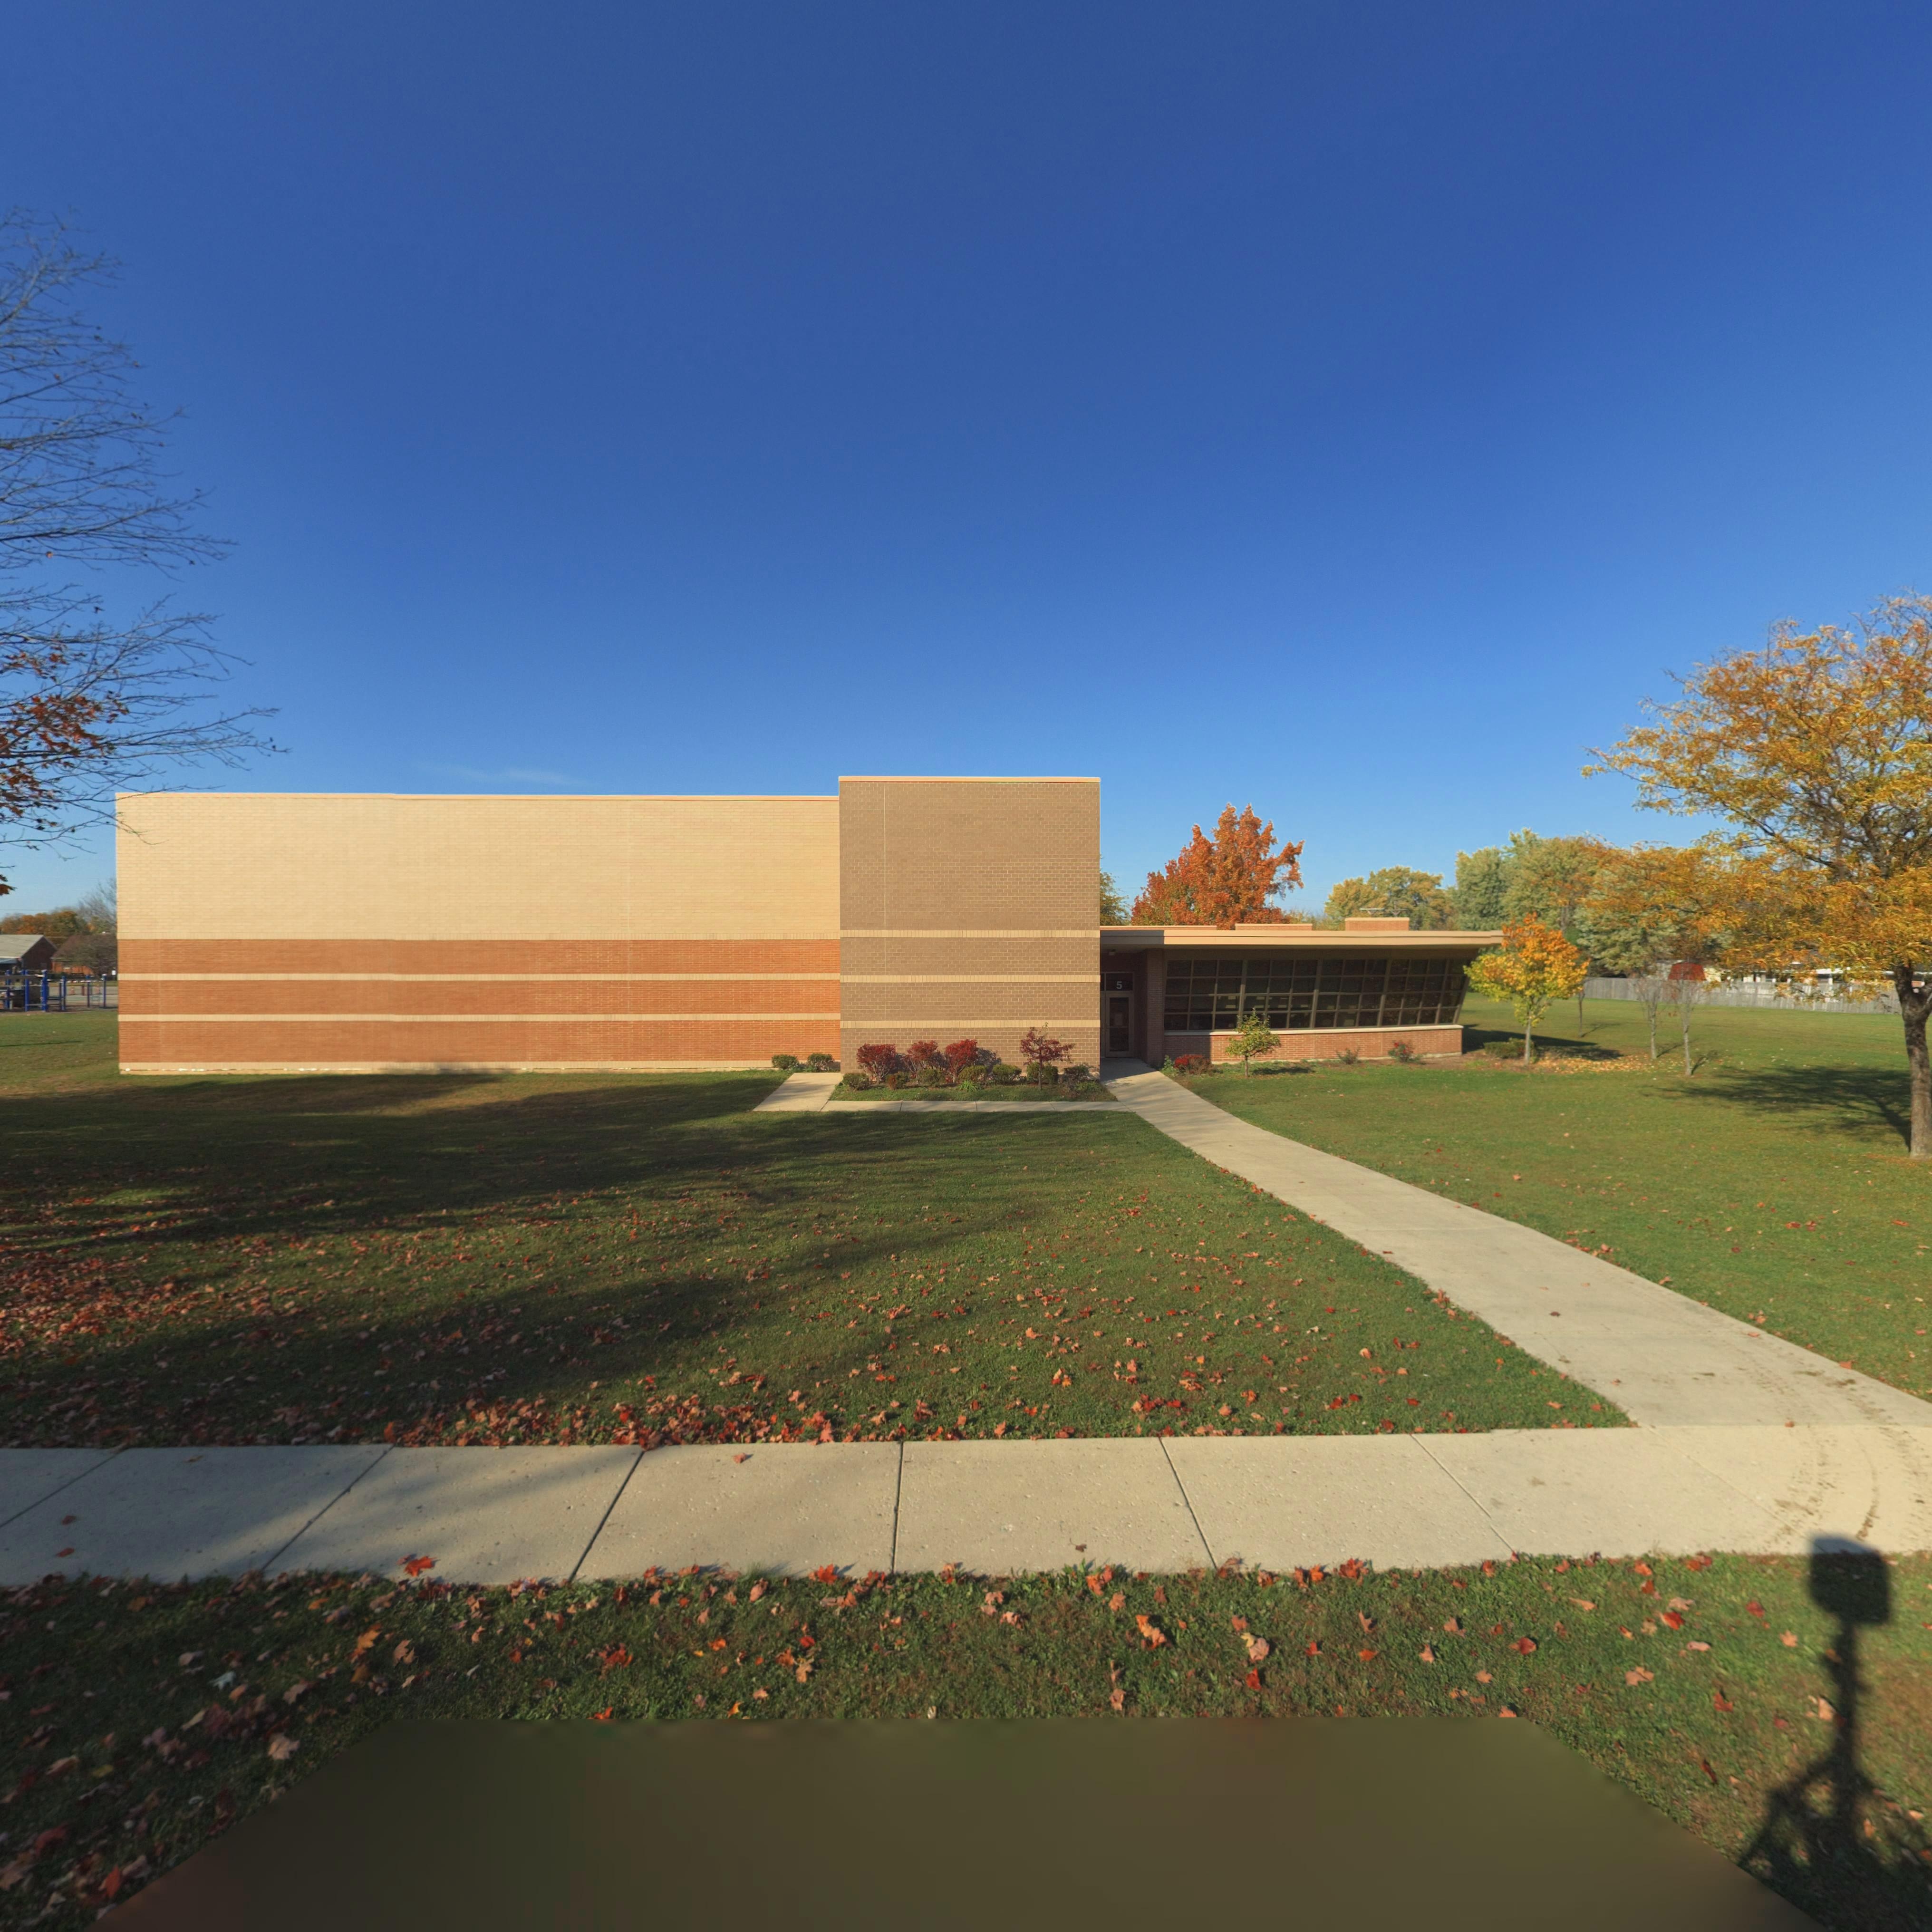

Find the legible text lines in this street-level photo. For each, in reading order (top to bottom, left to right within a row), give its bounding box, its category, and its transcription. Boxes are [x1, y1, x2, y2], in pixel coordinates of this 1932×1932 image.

[1116, 981, 1122, 989] StreetNumber: 5